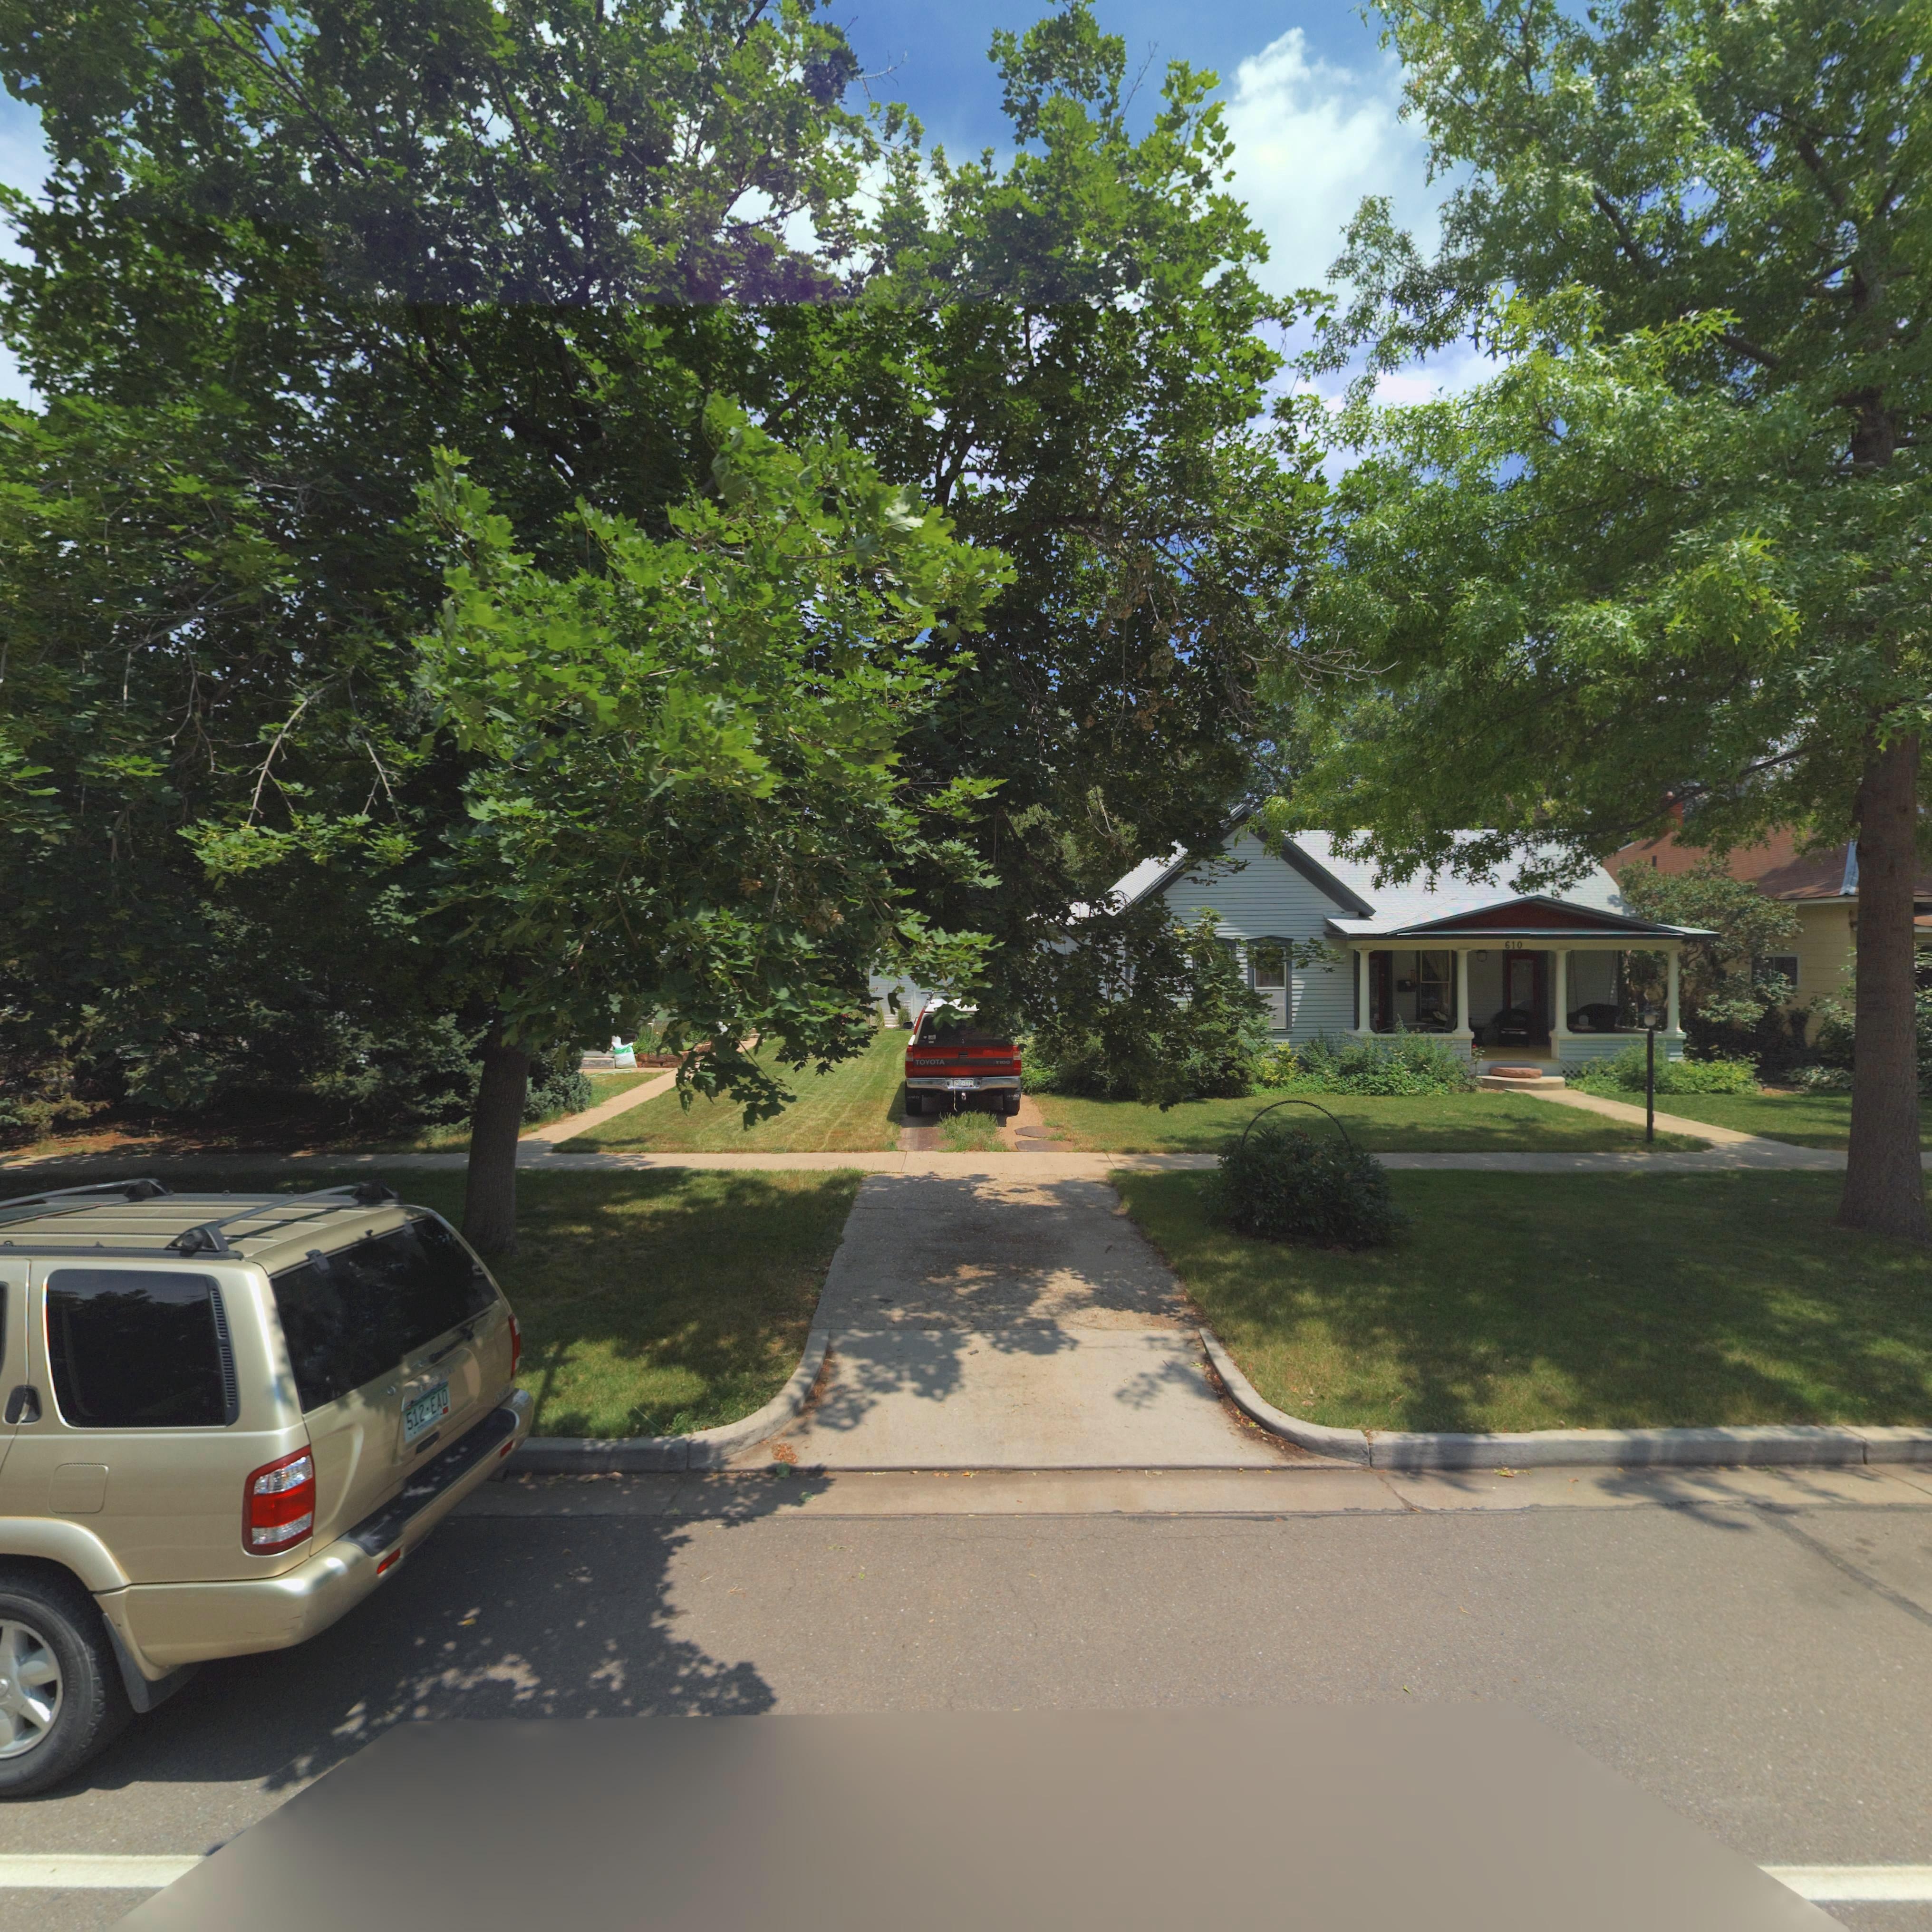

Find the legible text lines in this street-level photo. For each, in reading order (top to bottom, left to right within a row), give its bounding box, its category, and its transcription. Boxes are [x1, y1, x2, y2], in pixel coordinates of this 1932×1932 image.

[1505, 940, 1523, 949] StreetNumber: 610